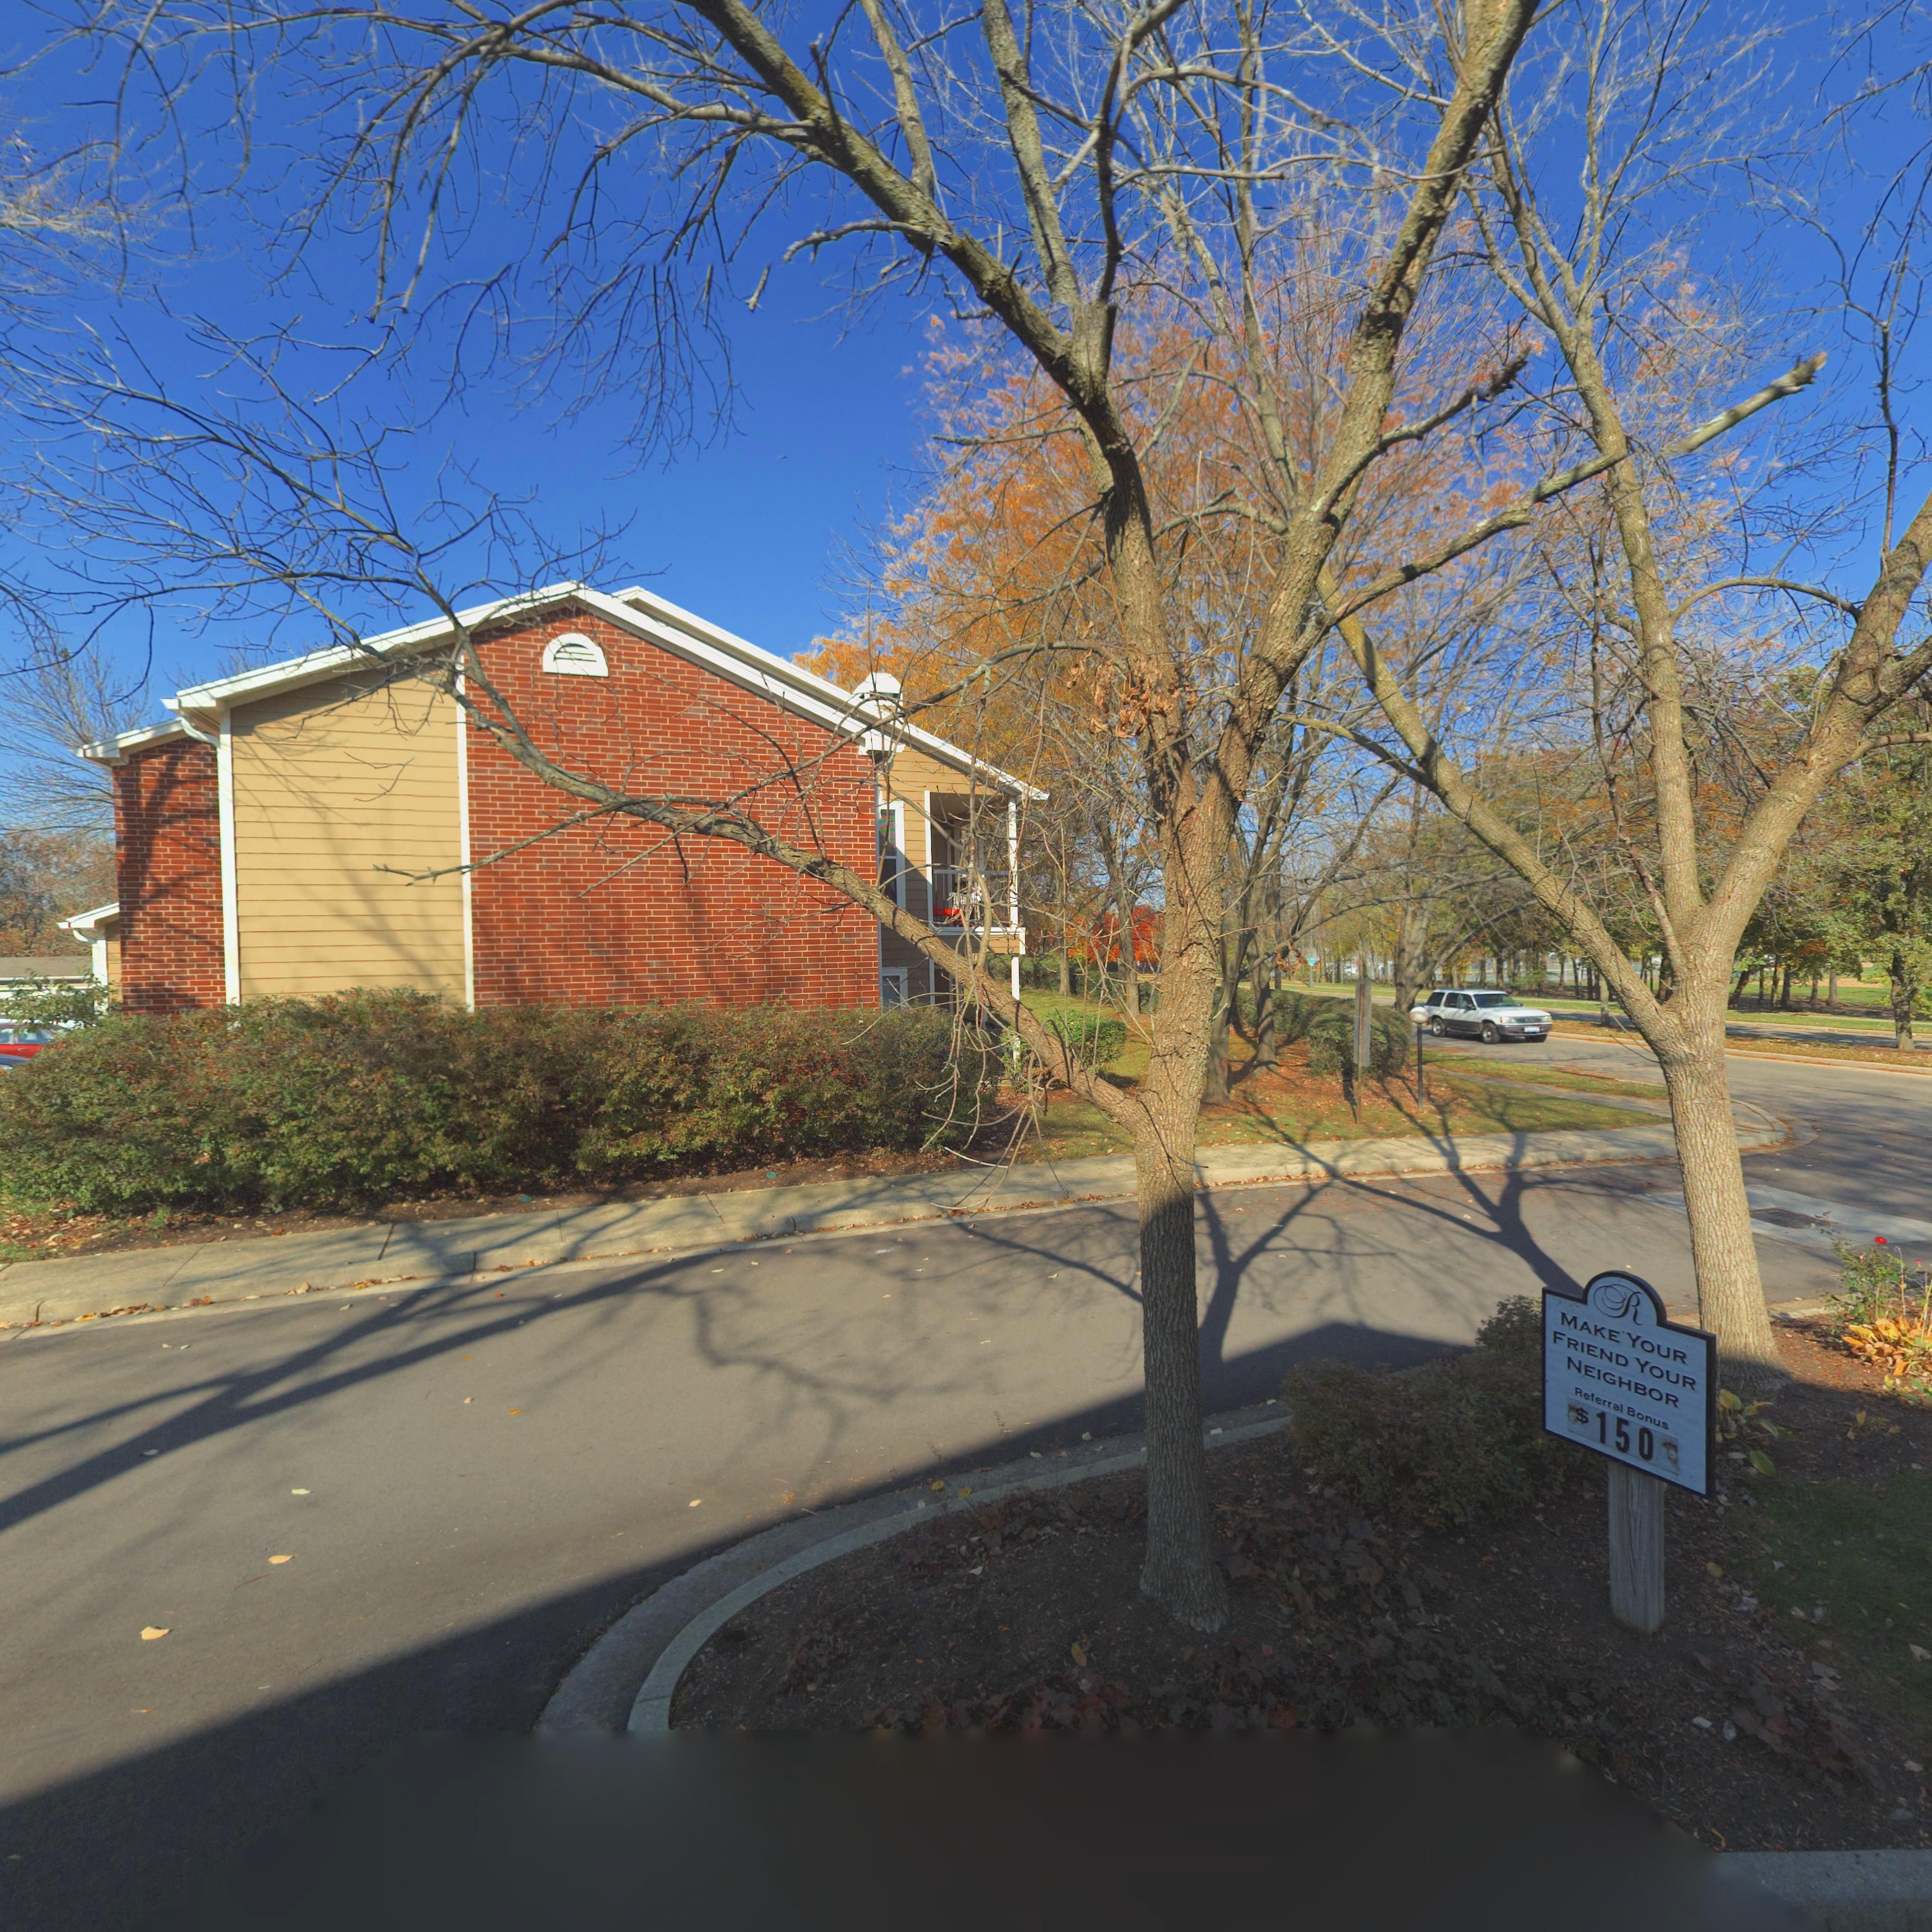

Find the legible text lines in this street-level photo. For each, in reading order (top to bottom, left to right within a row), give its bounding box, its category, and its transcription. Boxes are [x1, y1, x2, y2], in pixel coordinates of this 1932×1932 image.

[1610, 1290, 1642, 1327] None: R
[1575, 1386, 1669, 1431] None: Referral Bonus
[1566, 1355, 1680, 1410] None: NEIGHBOR
[1560, 1311, 1688, 1366] None: MAKE YOUR
[1552, 1330, 1697, 1392] None: FRIEND YOUR
[1596, 1410, 1654, 1462] None: 150